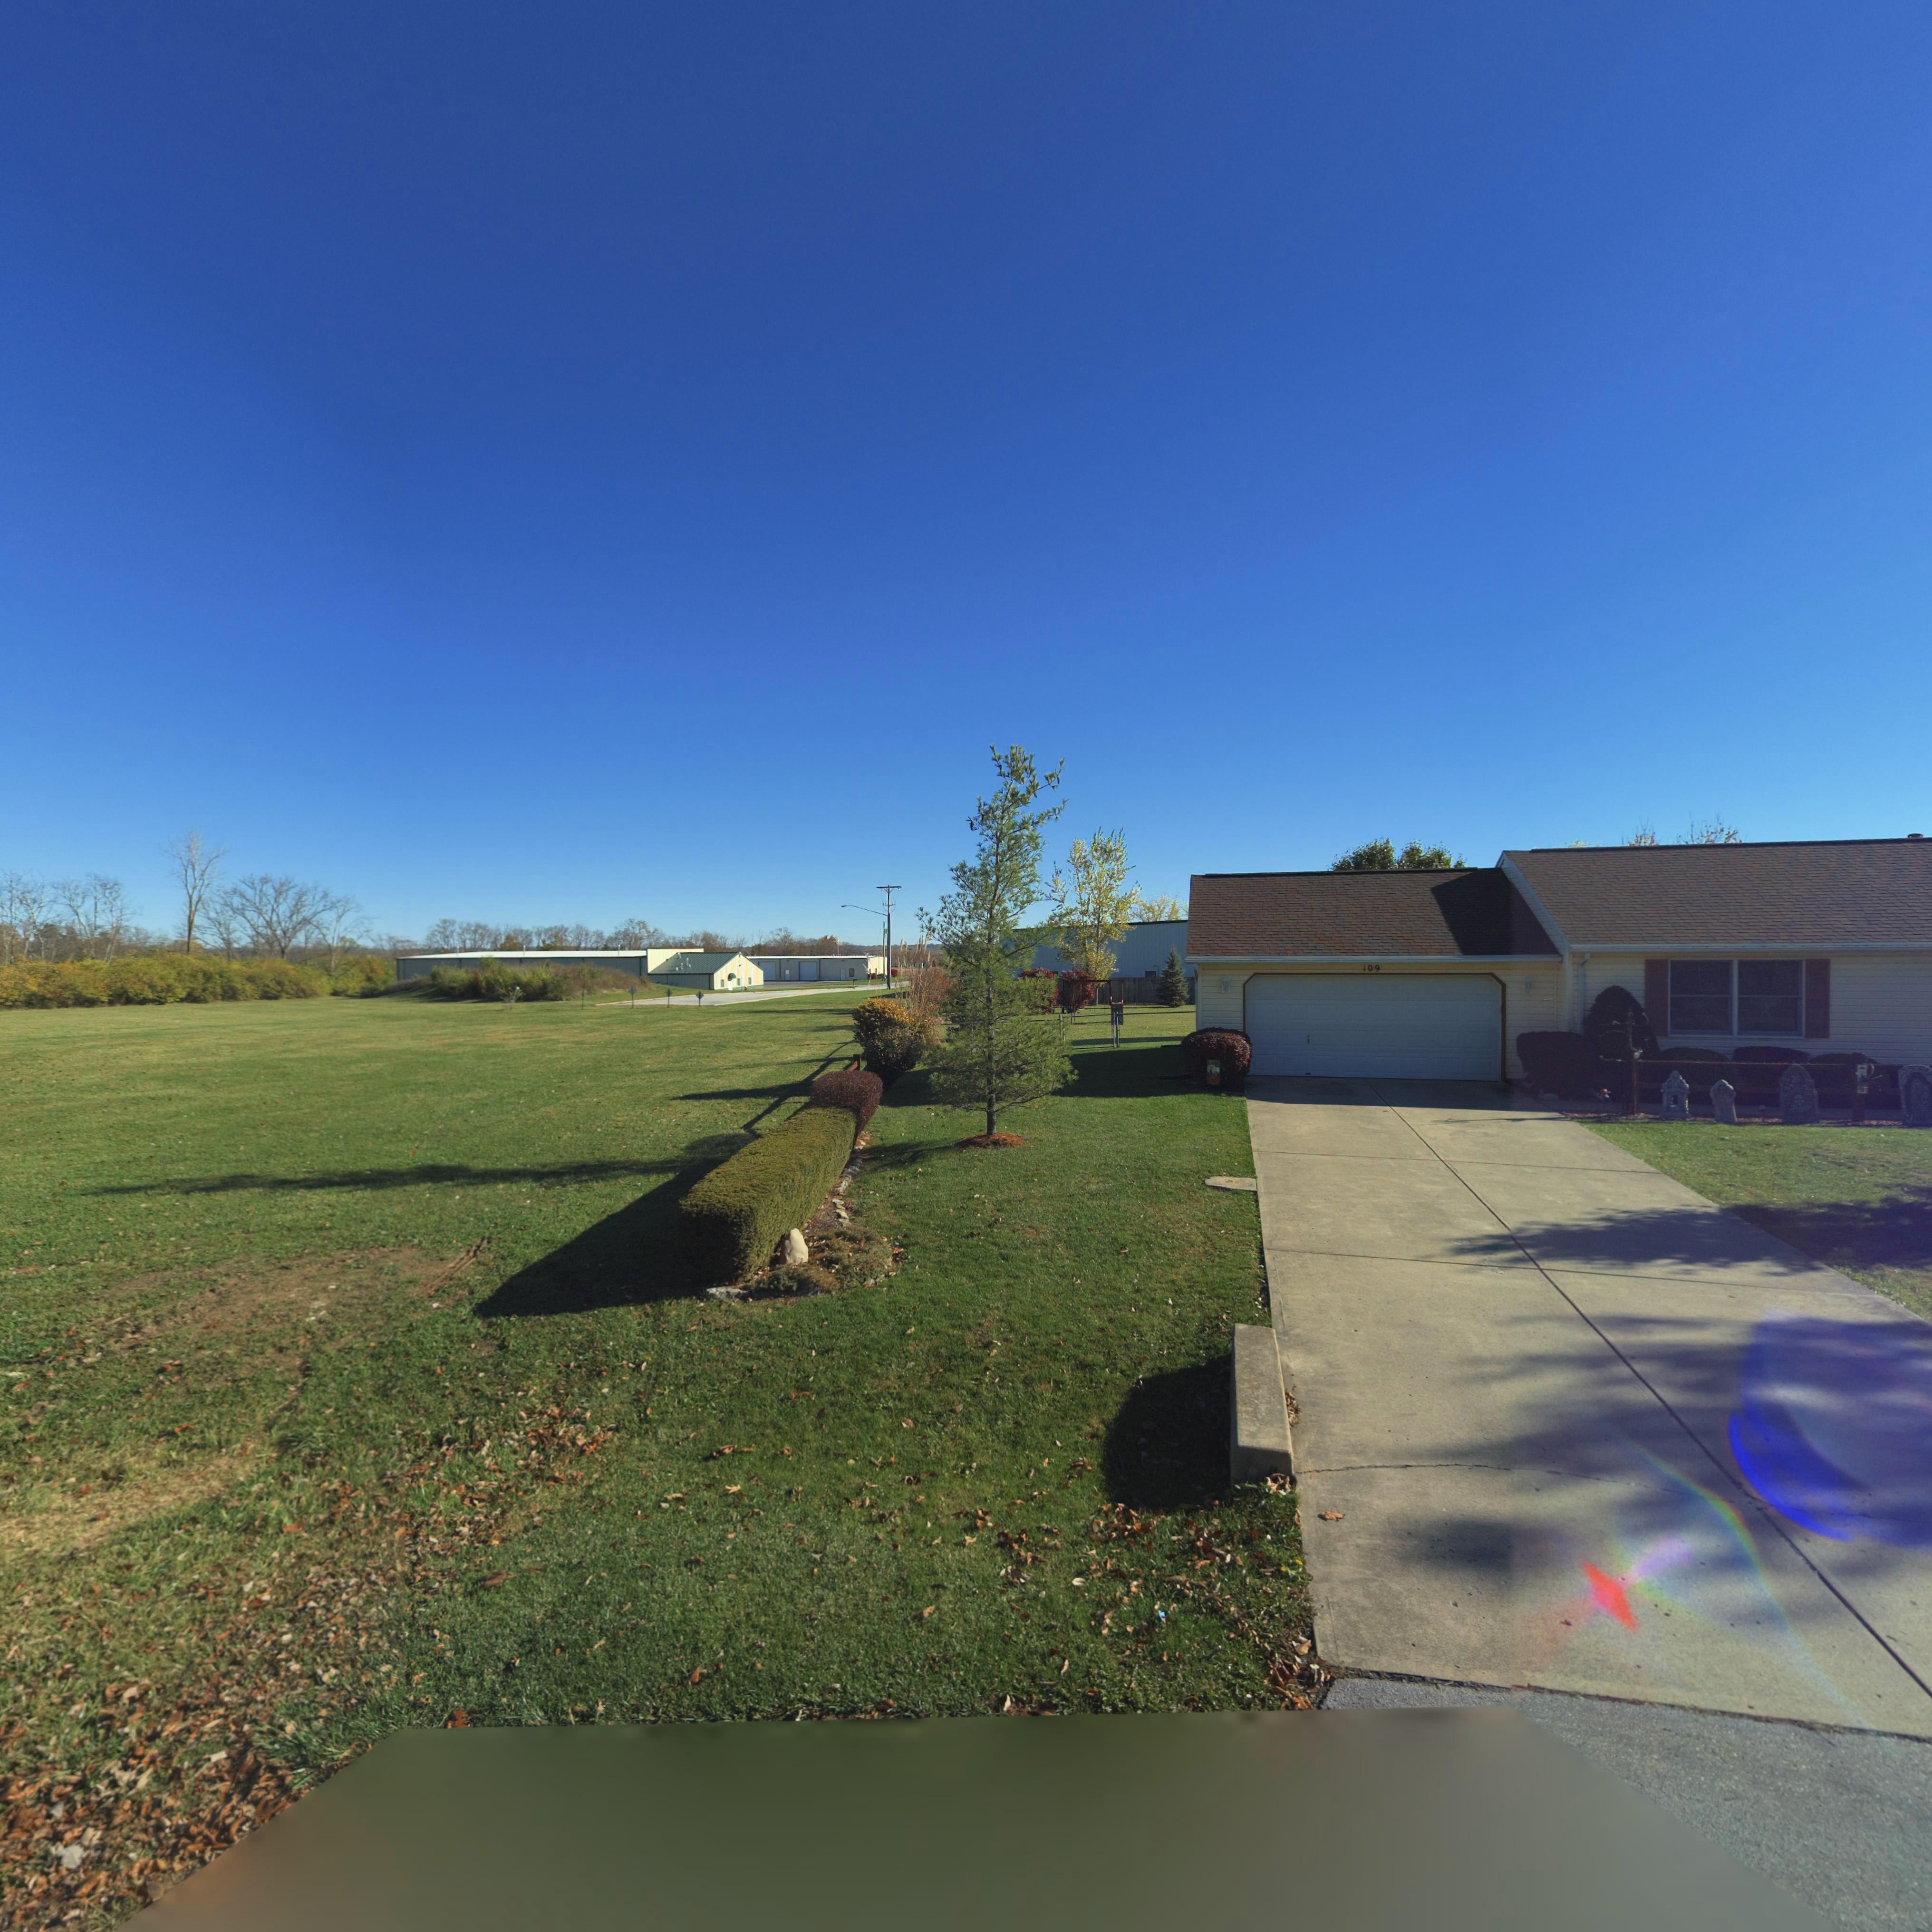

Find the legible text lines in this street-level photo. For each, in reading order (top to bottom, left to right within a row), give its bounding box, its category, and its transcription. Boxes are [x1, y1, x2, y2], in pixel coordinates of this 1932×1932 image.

[1361, 964, 1380, 972] StreetNumber: 109